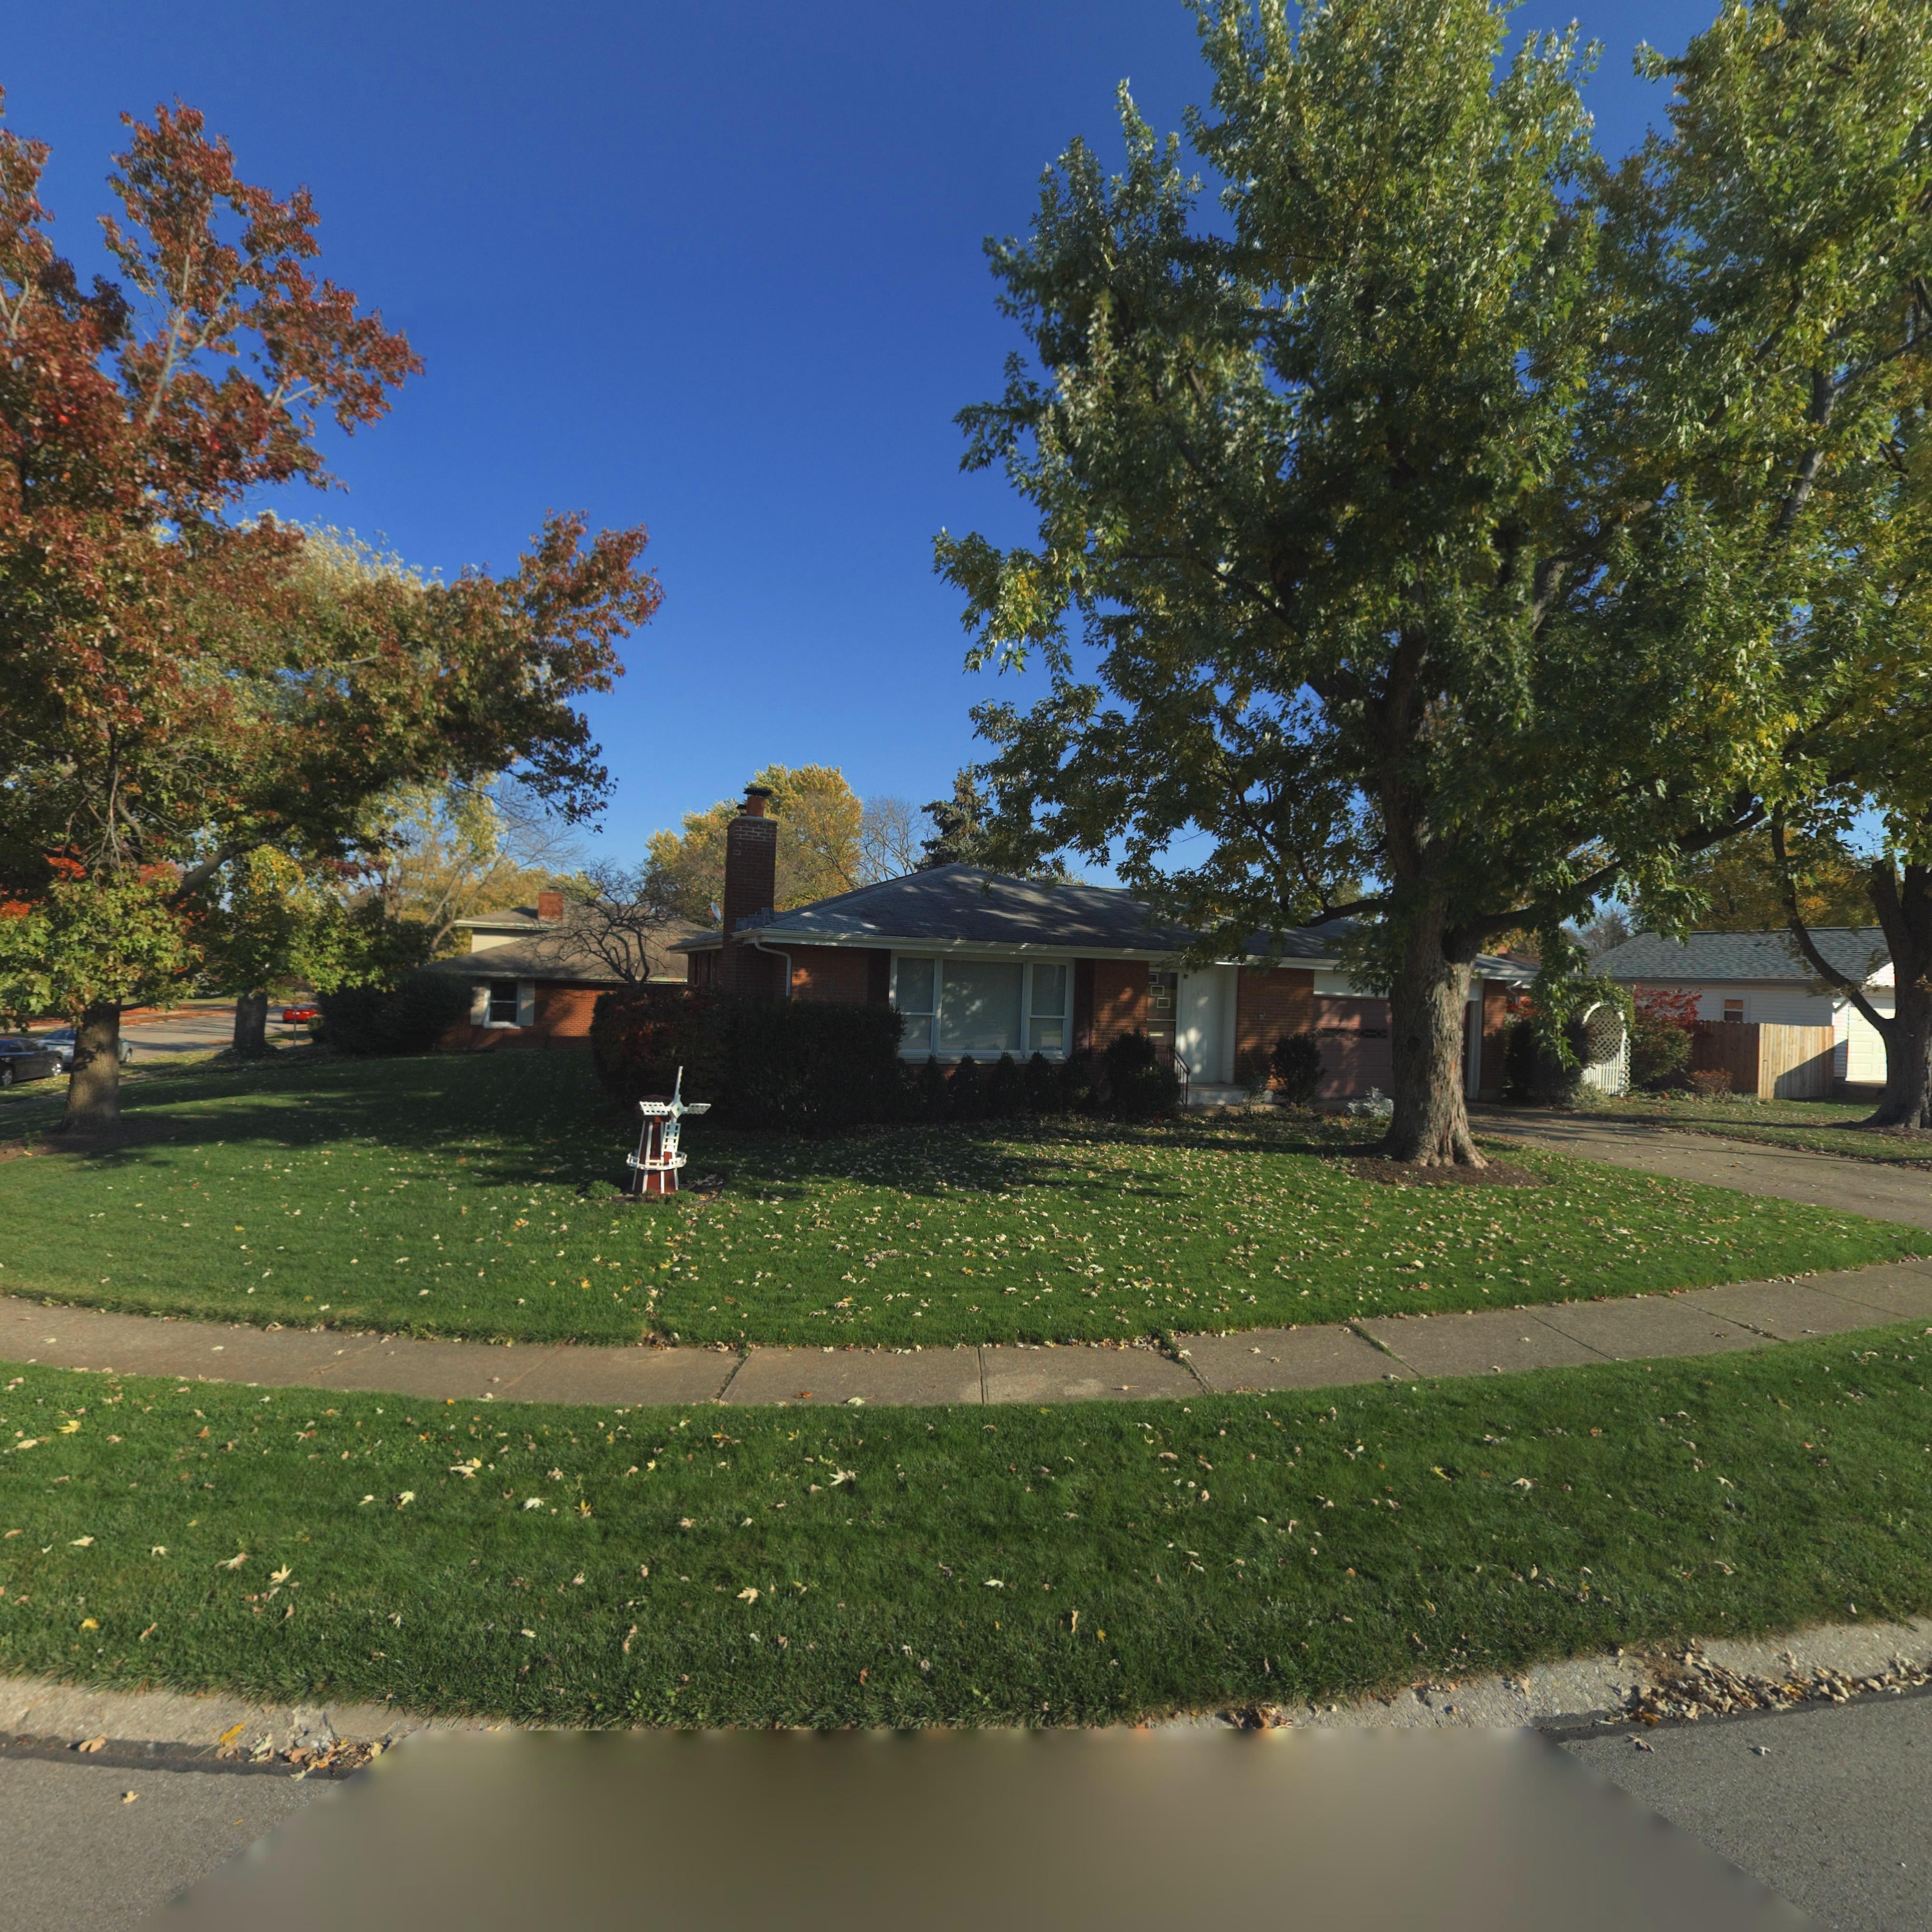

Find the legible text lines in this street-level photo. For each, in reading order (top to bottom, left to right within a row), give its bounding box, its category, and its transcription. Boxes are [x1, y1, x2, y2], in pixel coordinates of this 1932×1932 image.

[1191, 985, 1205, 999] StreetNumber: 6*6